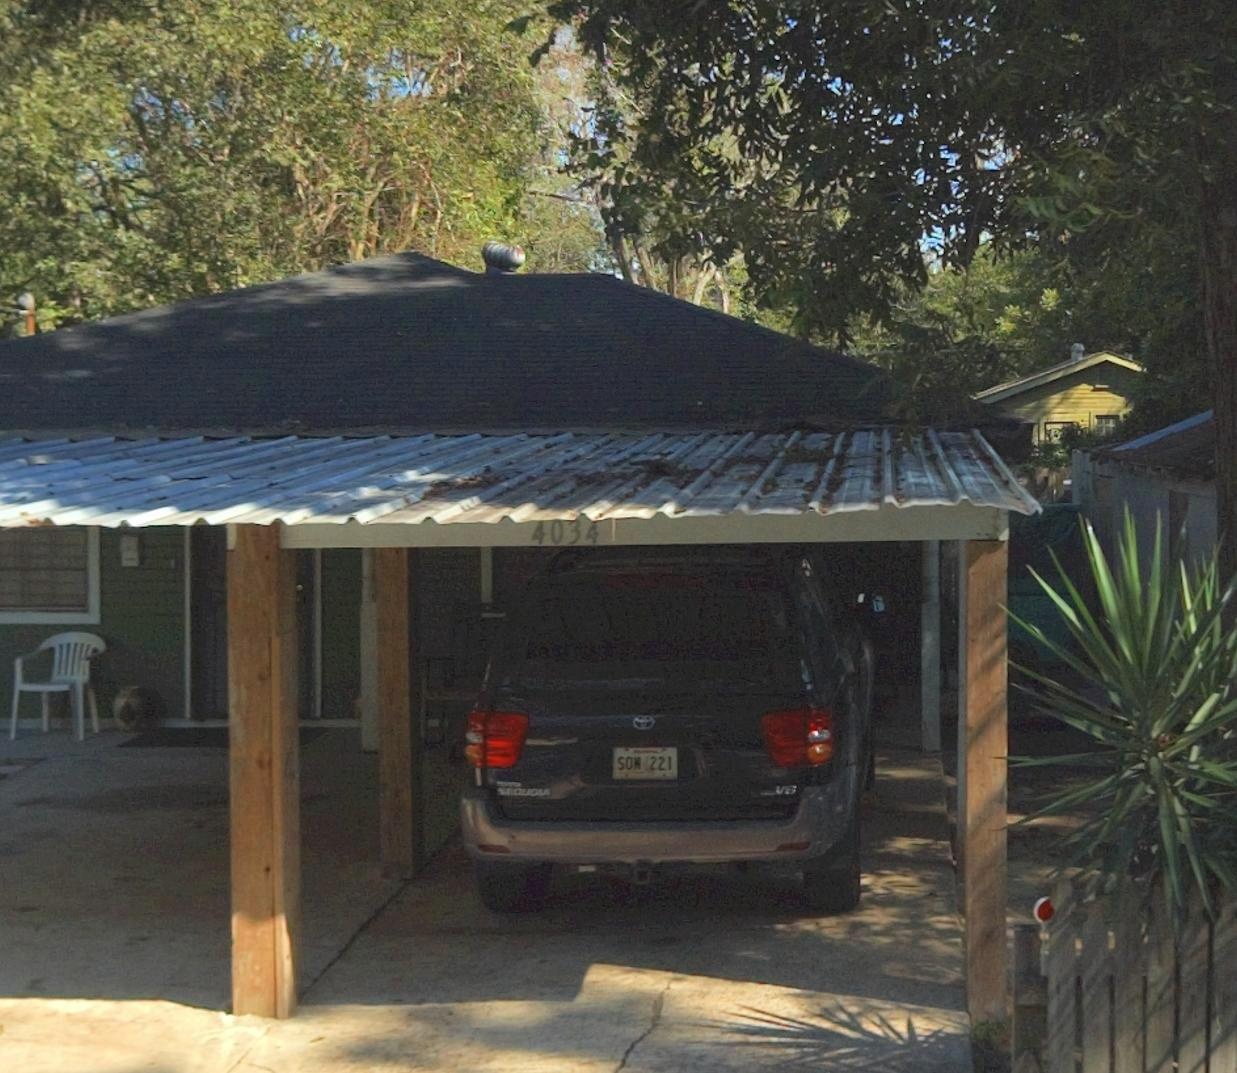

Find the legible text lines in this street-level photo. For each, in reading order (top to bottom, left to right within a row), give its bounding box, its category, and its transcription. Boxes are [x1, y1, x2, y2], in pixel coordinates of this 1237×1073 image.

[529, 520, 601, 546] StreetNumber: 4034
[616, 754, 674, 772] None: SO* 221